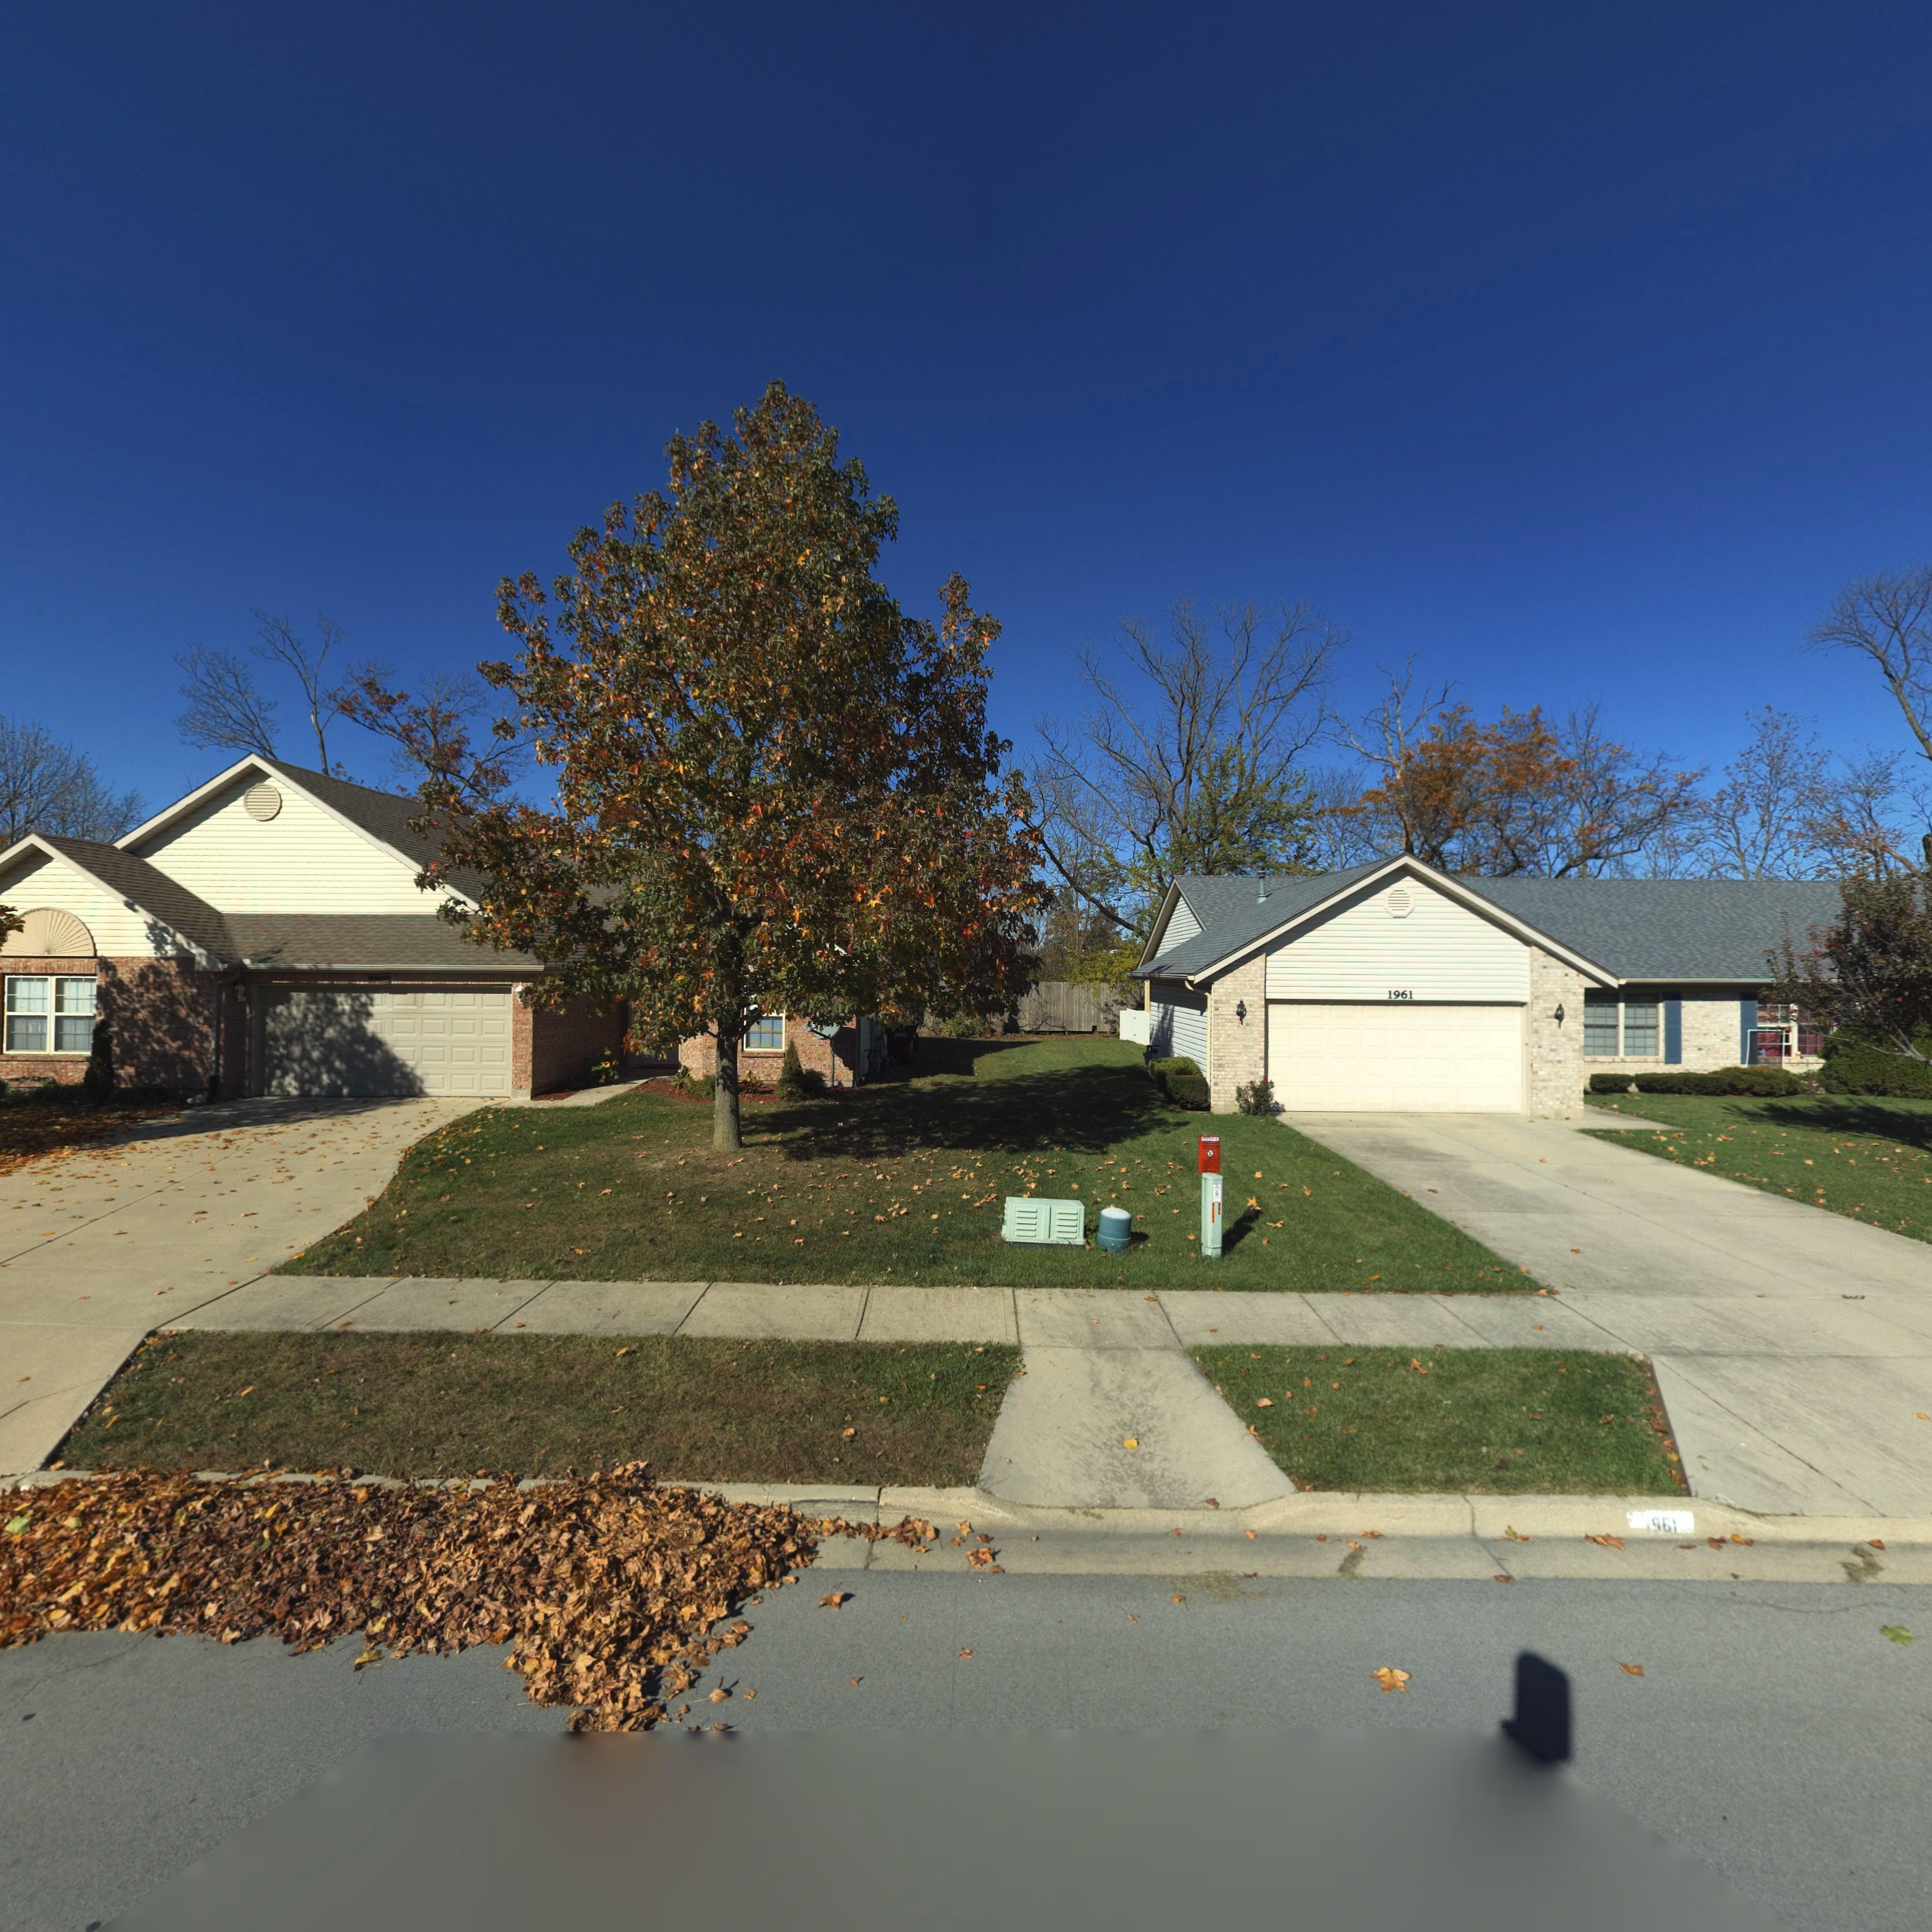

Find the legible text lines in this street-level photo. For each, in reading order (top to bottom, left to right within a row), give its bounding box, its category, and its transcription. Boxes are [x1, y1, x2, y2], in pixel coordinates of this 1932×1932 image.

[1387, 989, 1414, 1000] StreetNumber: 1961
[1644, 1515, 1679, 1535] StreetNumber: *961